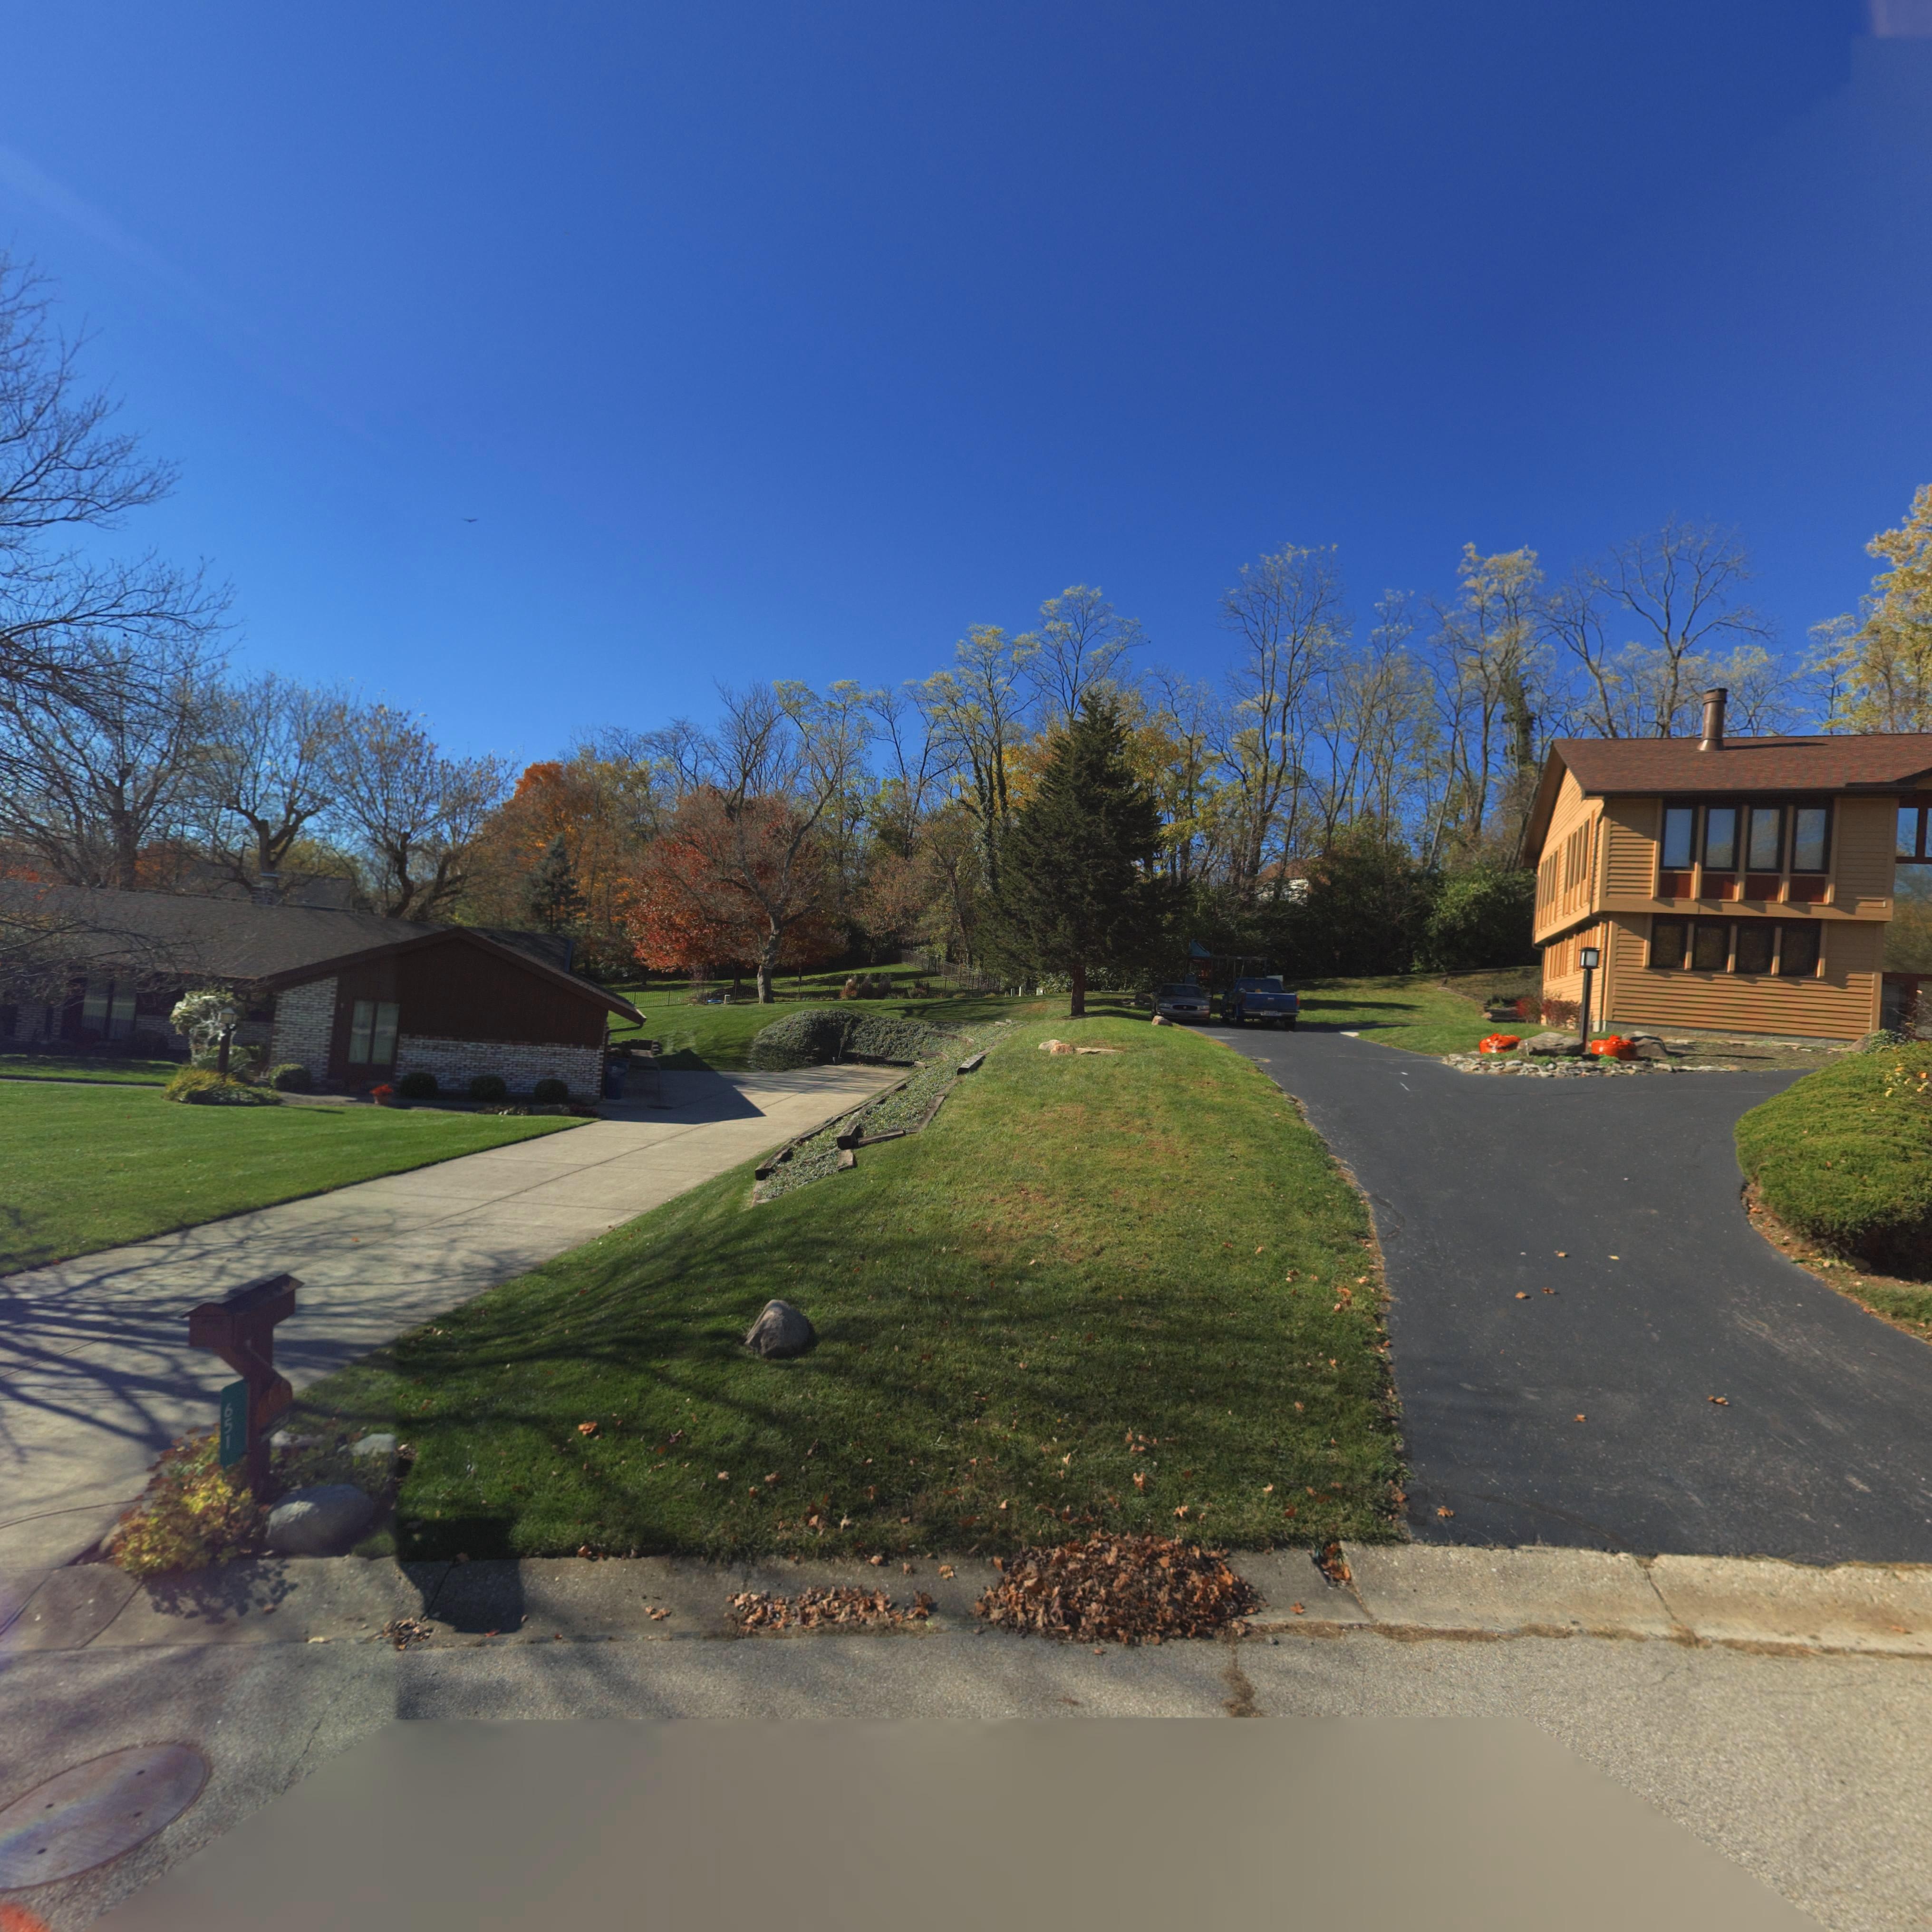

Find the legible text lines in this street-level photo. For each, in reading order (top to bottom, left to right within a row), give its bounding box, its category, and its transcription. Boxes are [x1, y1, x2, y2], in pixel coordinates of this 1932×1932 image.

[222, 1401, 233, 1451] StreetNumber: 651